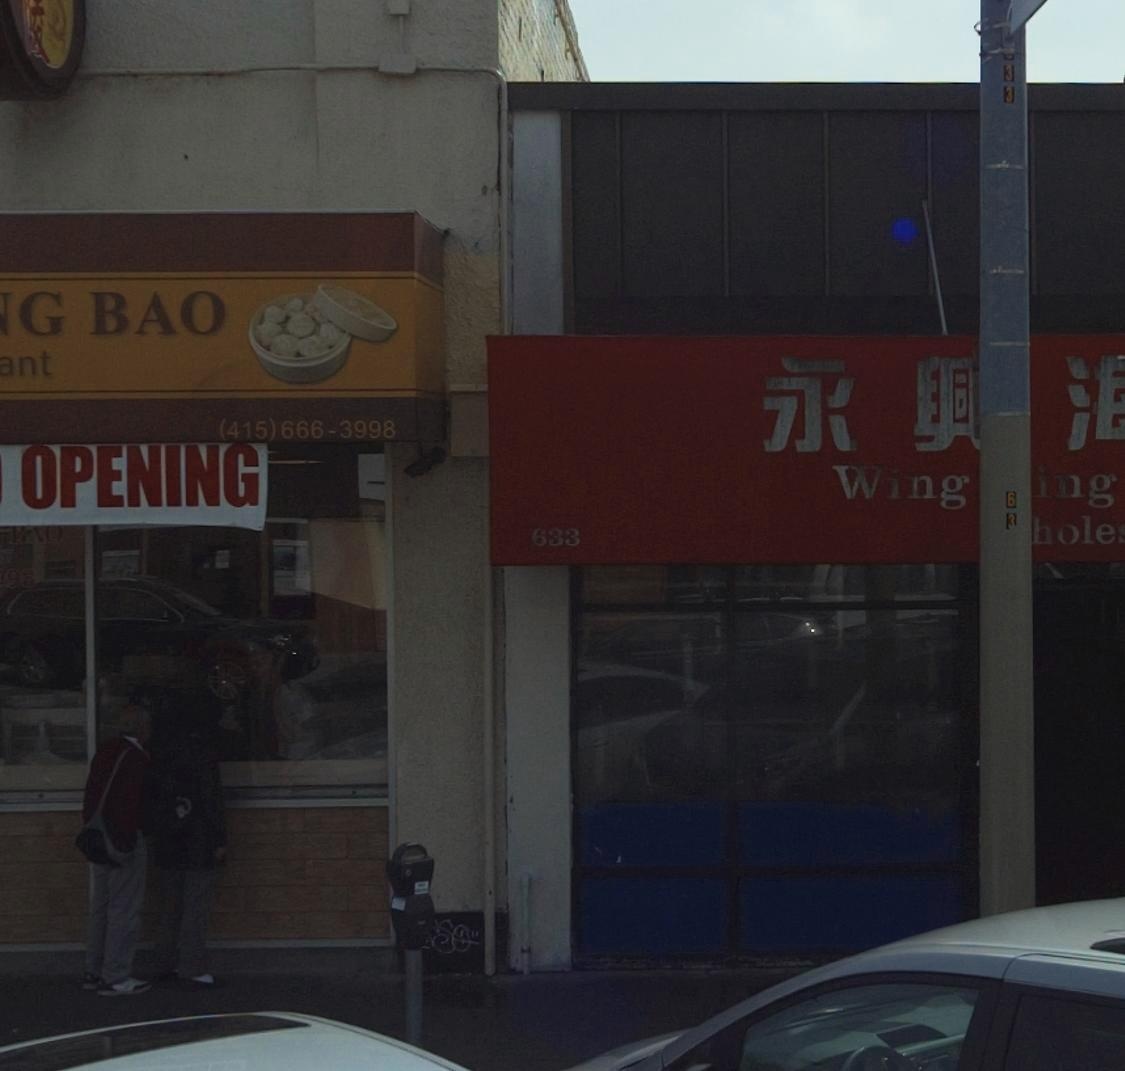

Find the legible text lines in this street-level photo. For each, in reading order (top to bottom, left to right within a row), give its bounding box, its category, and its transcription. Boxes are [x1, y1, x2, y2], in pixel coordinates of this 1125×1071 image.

[17, 290, 227, 337] BusinessName: G BAO
[16, 349, 53, 377] BusinessName: nt
[217, 417, 396, 443] None: (415) 666-3998
[21, 443, 260, 510] None: OPENING
[830, 464, 1119, 510] BusinessName: Wing *ing
[531, 526, 581, 548] StreetNumber: 633
[1005, 491, 1018, 531] None: 63
[1030, 513, 1116, 547] BusinessName: hole